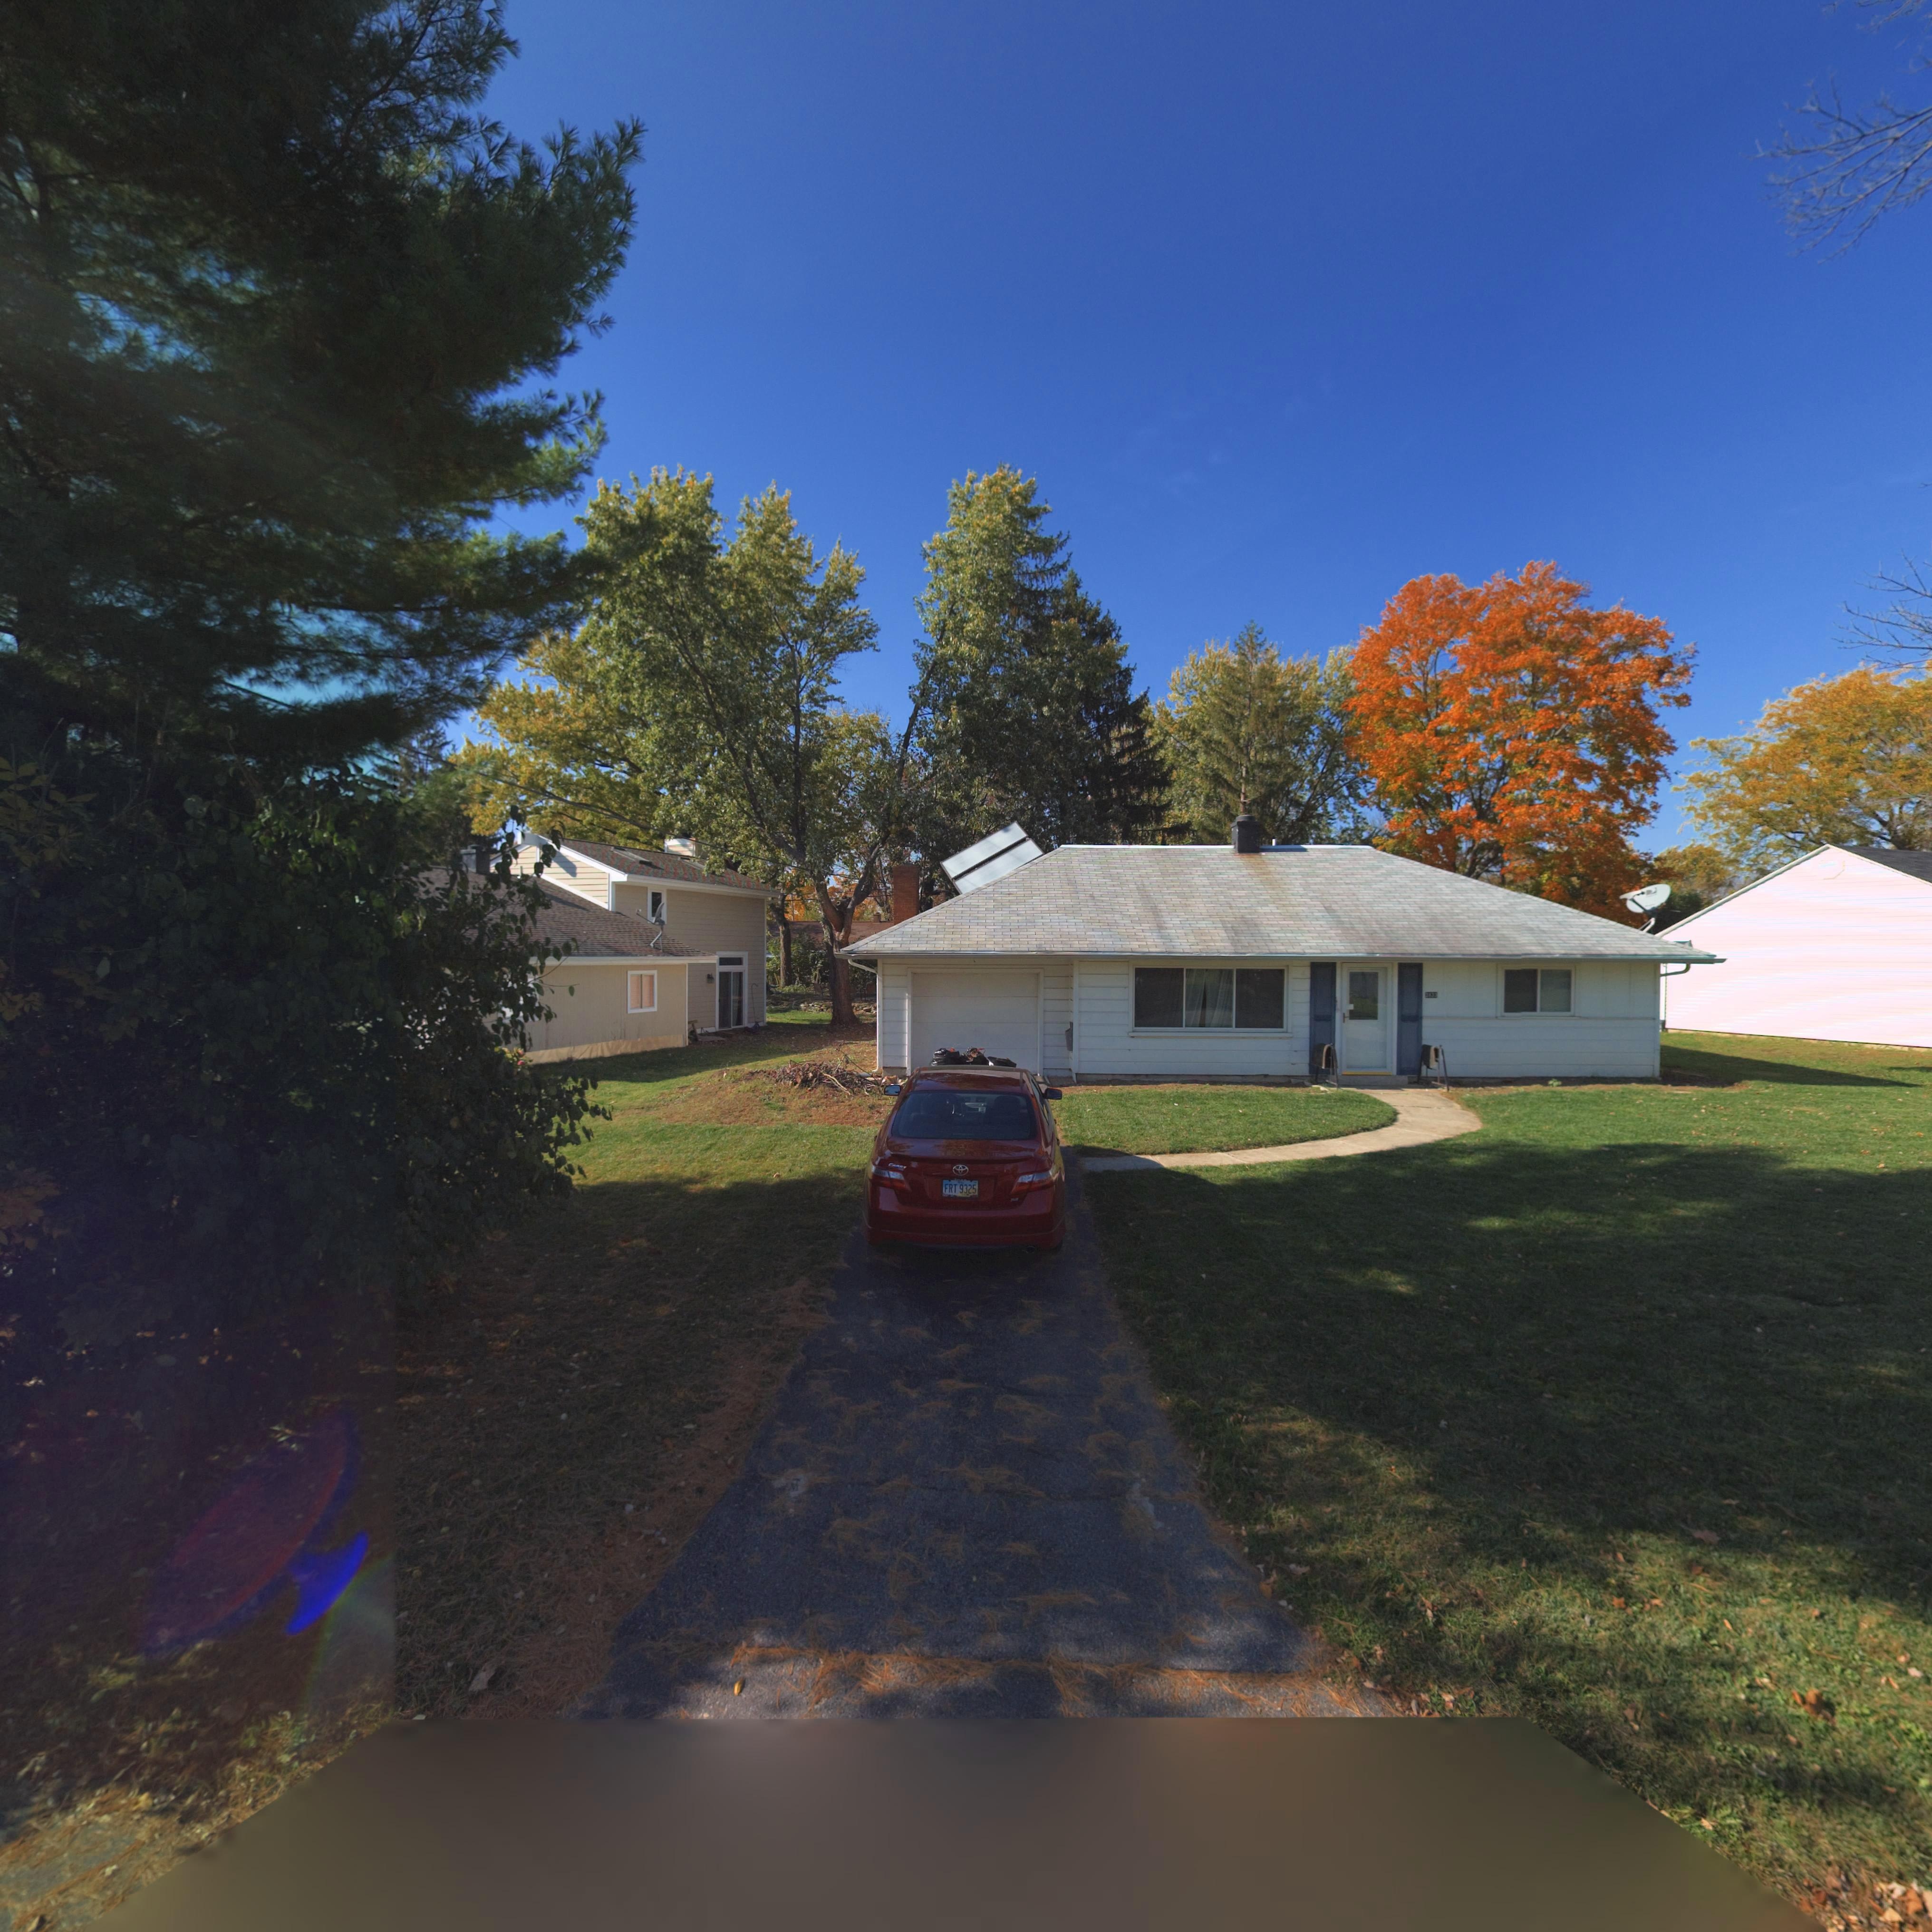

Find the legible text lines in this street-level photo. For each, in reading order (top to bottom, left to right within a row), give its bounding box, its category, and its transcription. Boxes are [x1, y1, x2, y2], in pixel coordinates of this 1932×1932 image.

[1425, 992, 1437, 997] StreetNumber: 3833
[888, 1162, 908, 1169] None: CAMRY
[944, 1184, 977, 1194] None: FRT 9325